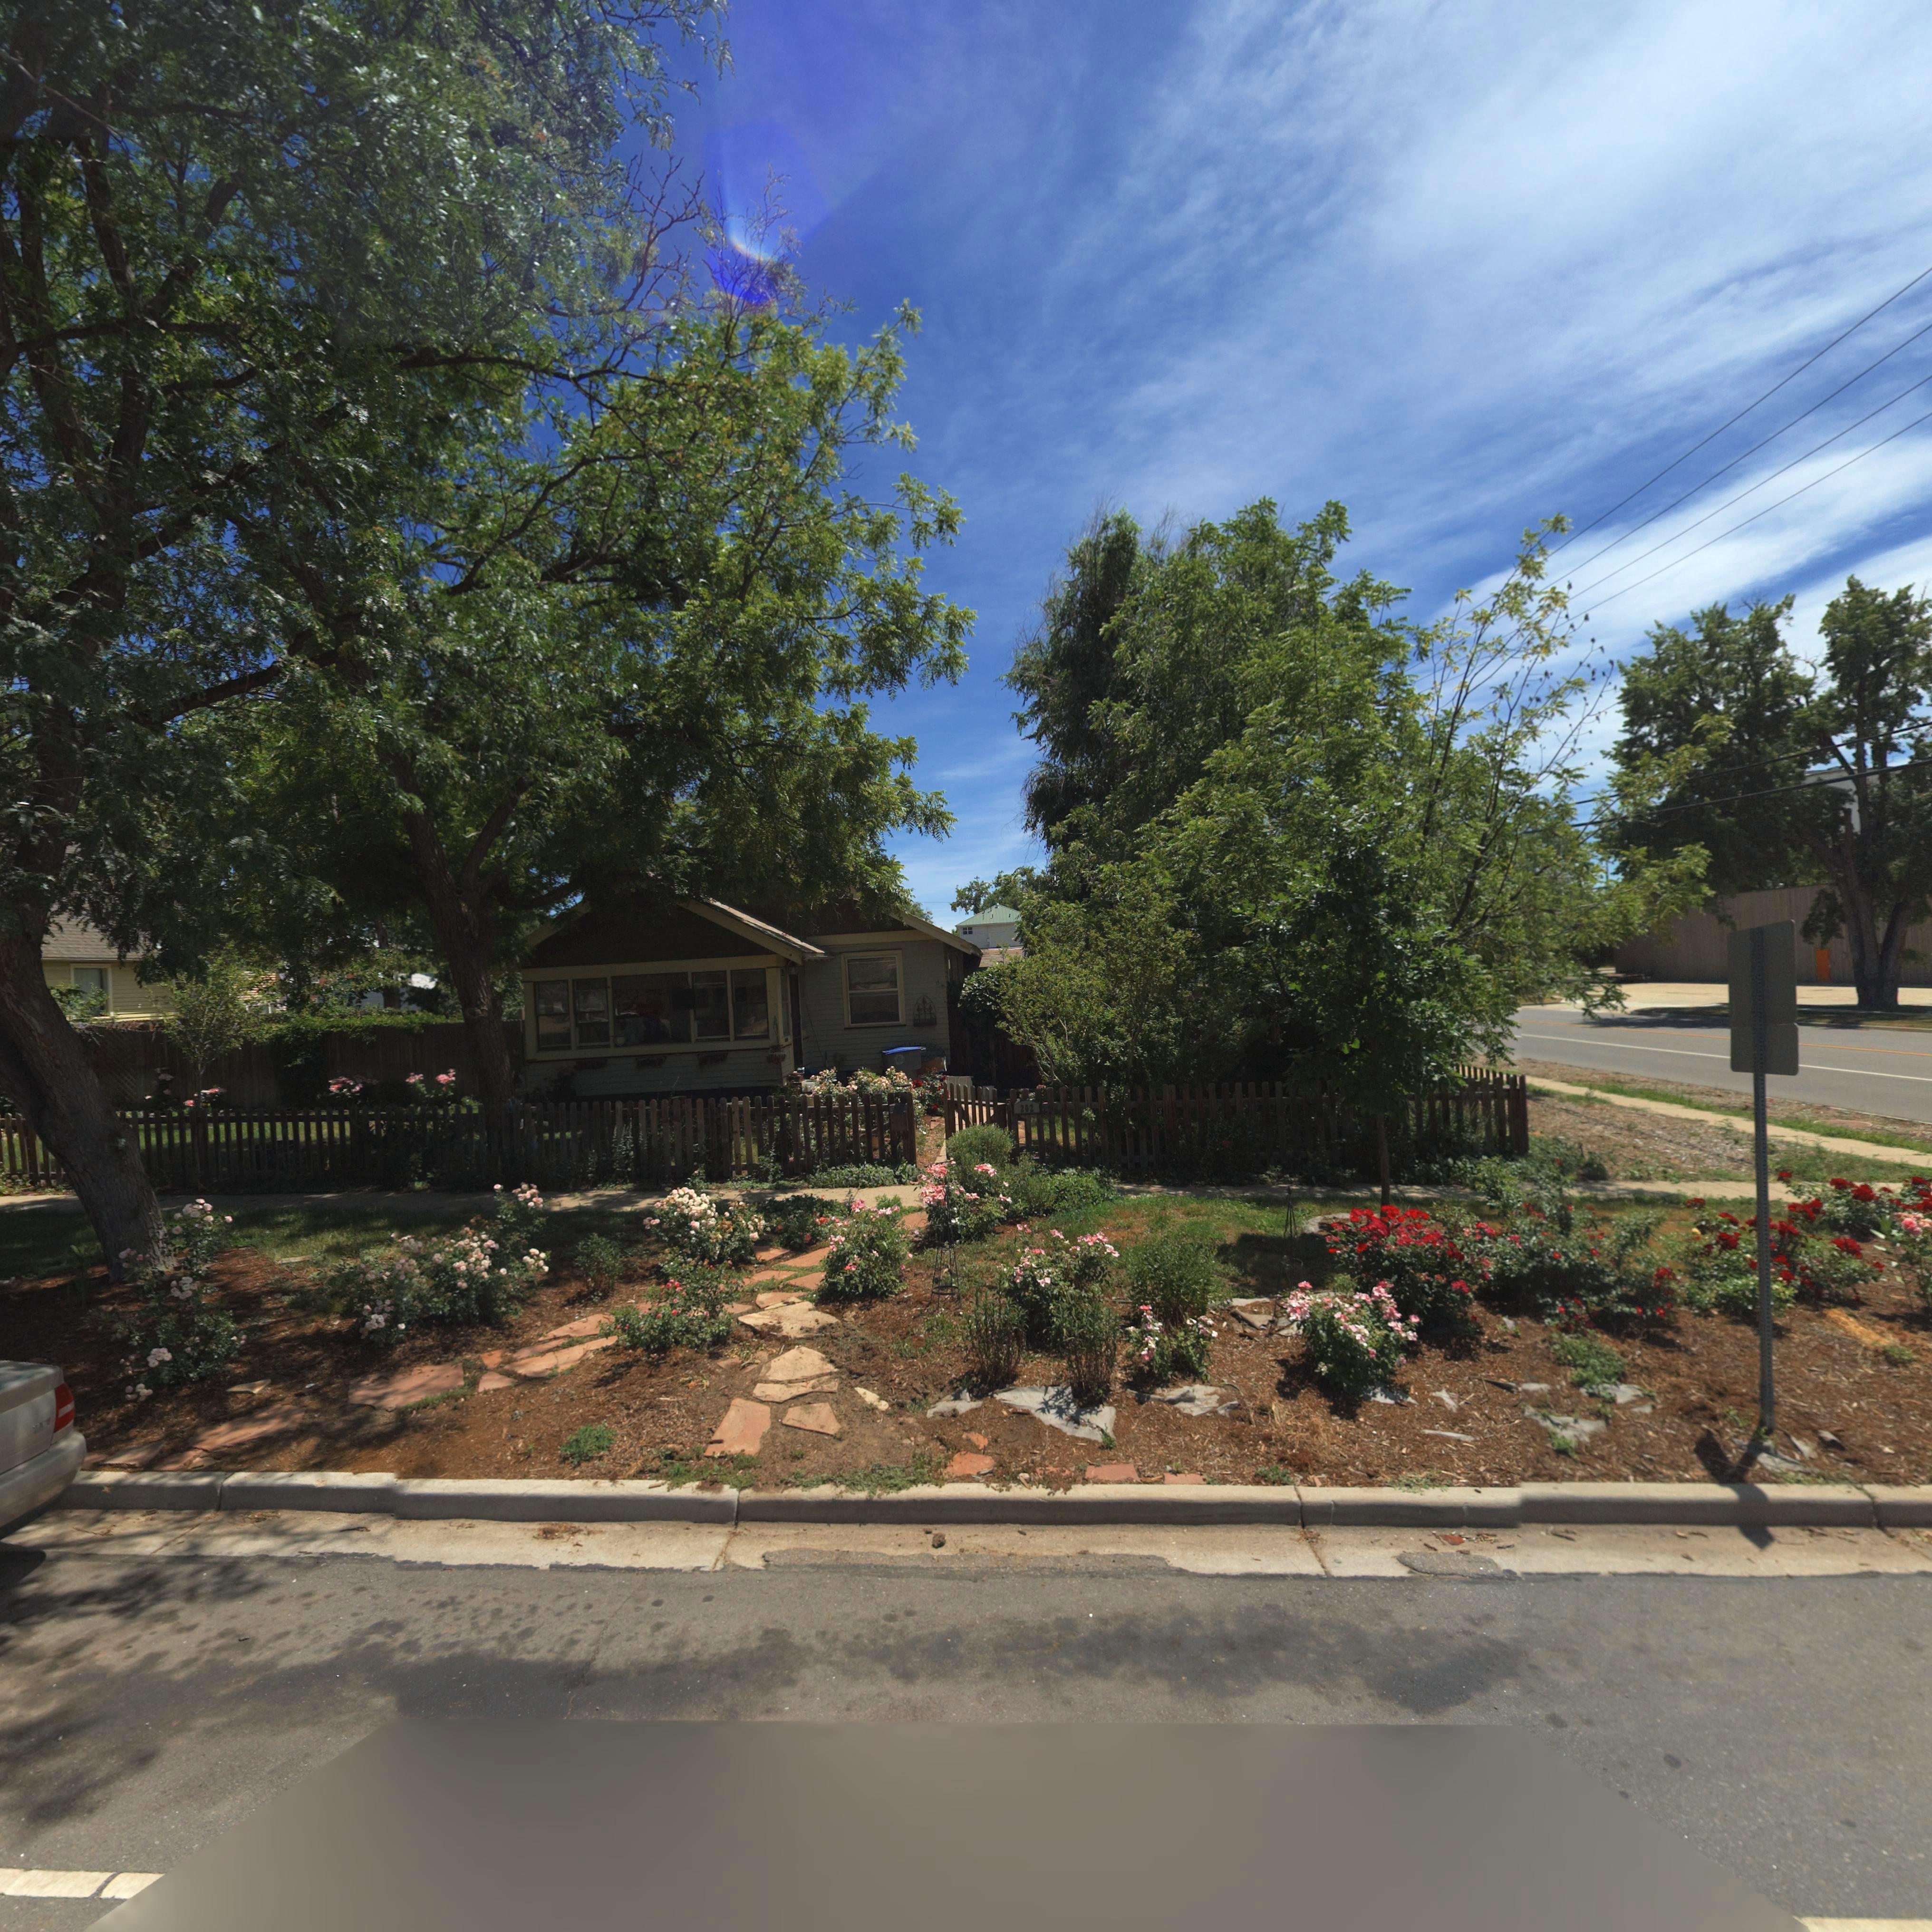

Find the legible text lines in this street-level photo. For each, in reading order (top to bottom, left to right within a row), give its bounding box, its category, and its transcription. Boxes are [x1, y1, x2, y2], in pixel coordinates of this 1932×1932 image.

[1020, 1104, 1034, 1112] StreetNumber: 202